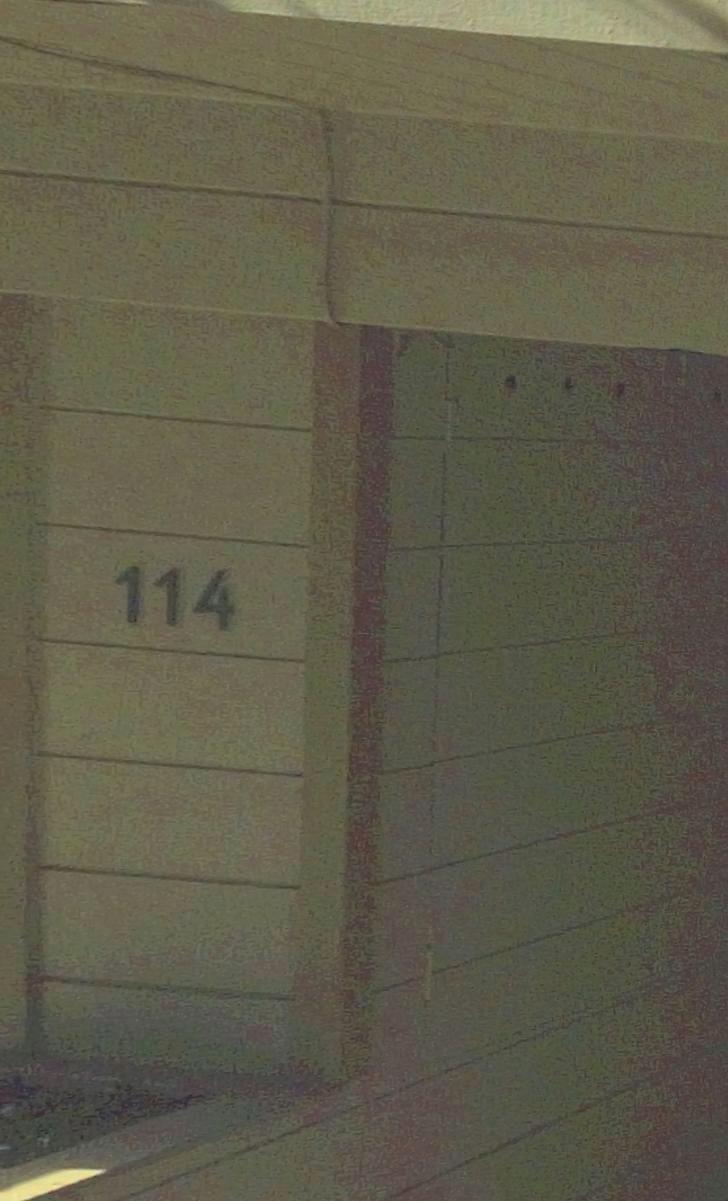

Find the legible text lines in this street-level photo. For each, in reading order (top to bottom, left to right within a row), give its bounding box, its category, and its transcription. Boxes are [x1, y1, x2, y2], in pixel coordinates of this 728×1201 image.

[110, 560, 238, 634] StreetNumber: 114